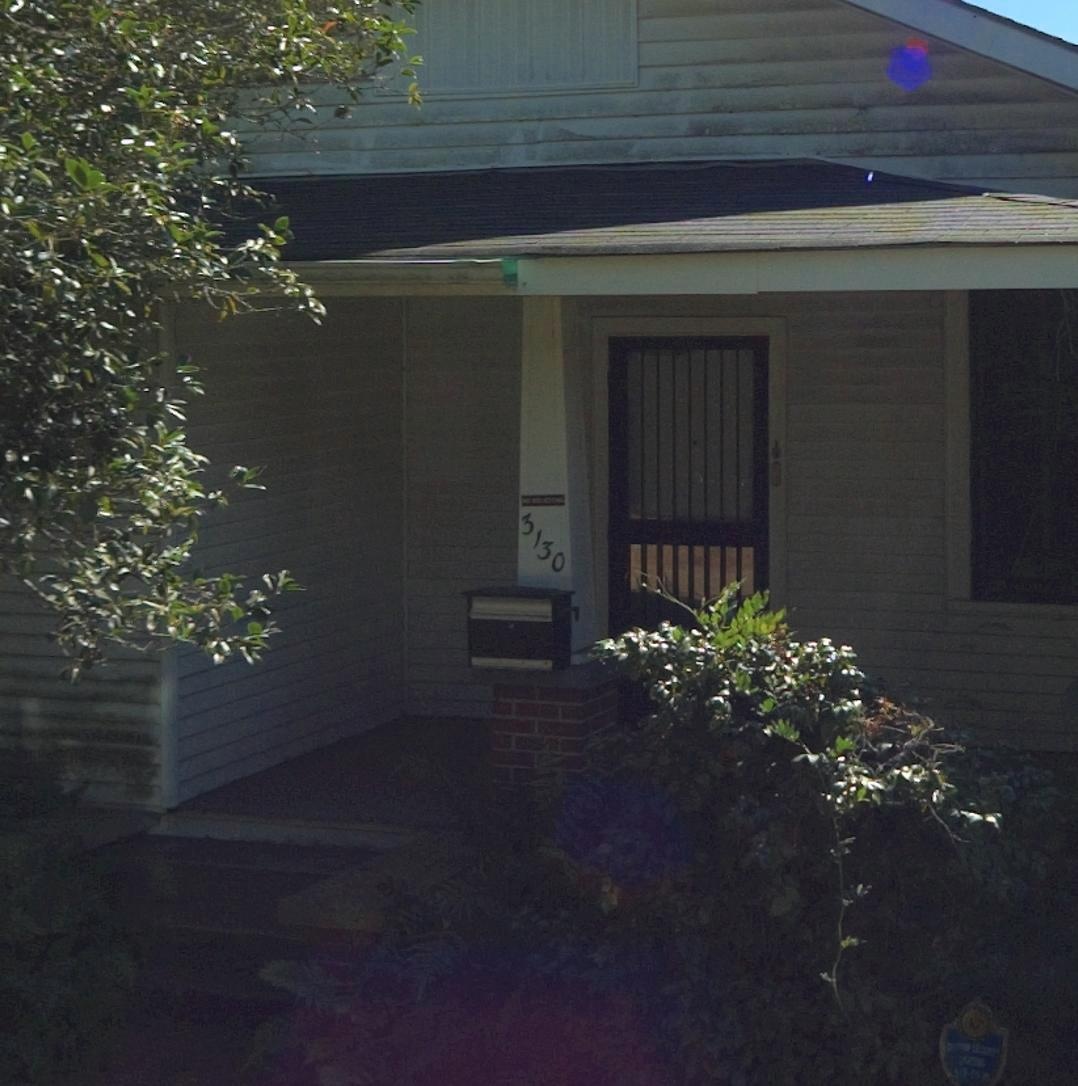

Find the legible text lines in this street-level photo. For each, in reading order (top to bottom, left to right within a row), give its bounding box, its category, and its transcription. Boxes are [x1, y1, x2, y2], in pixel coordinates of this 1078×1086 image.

[520, 511, 567, 575] StreetNumber: 3130